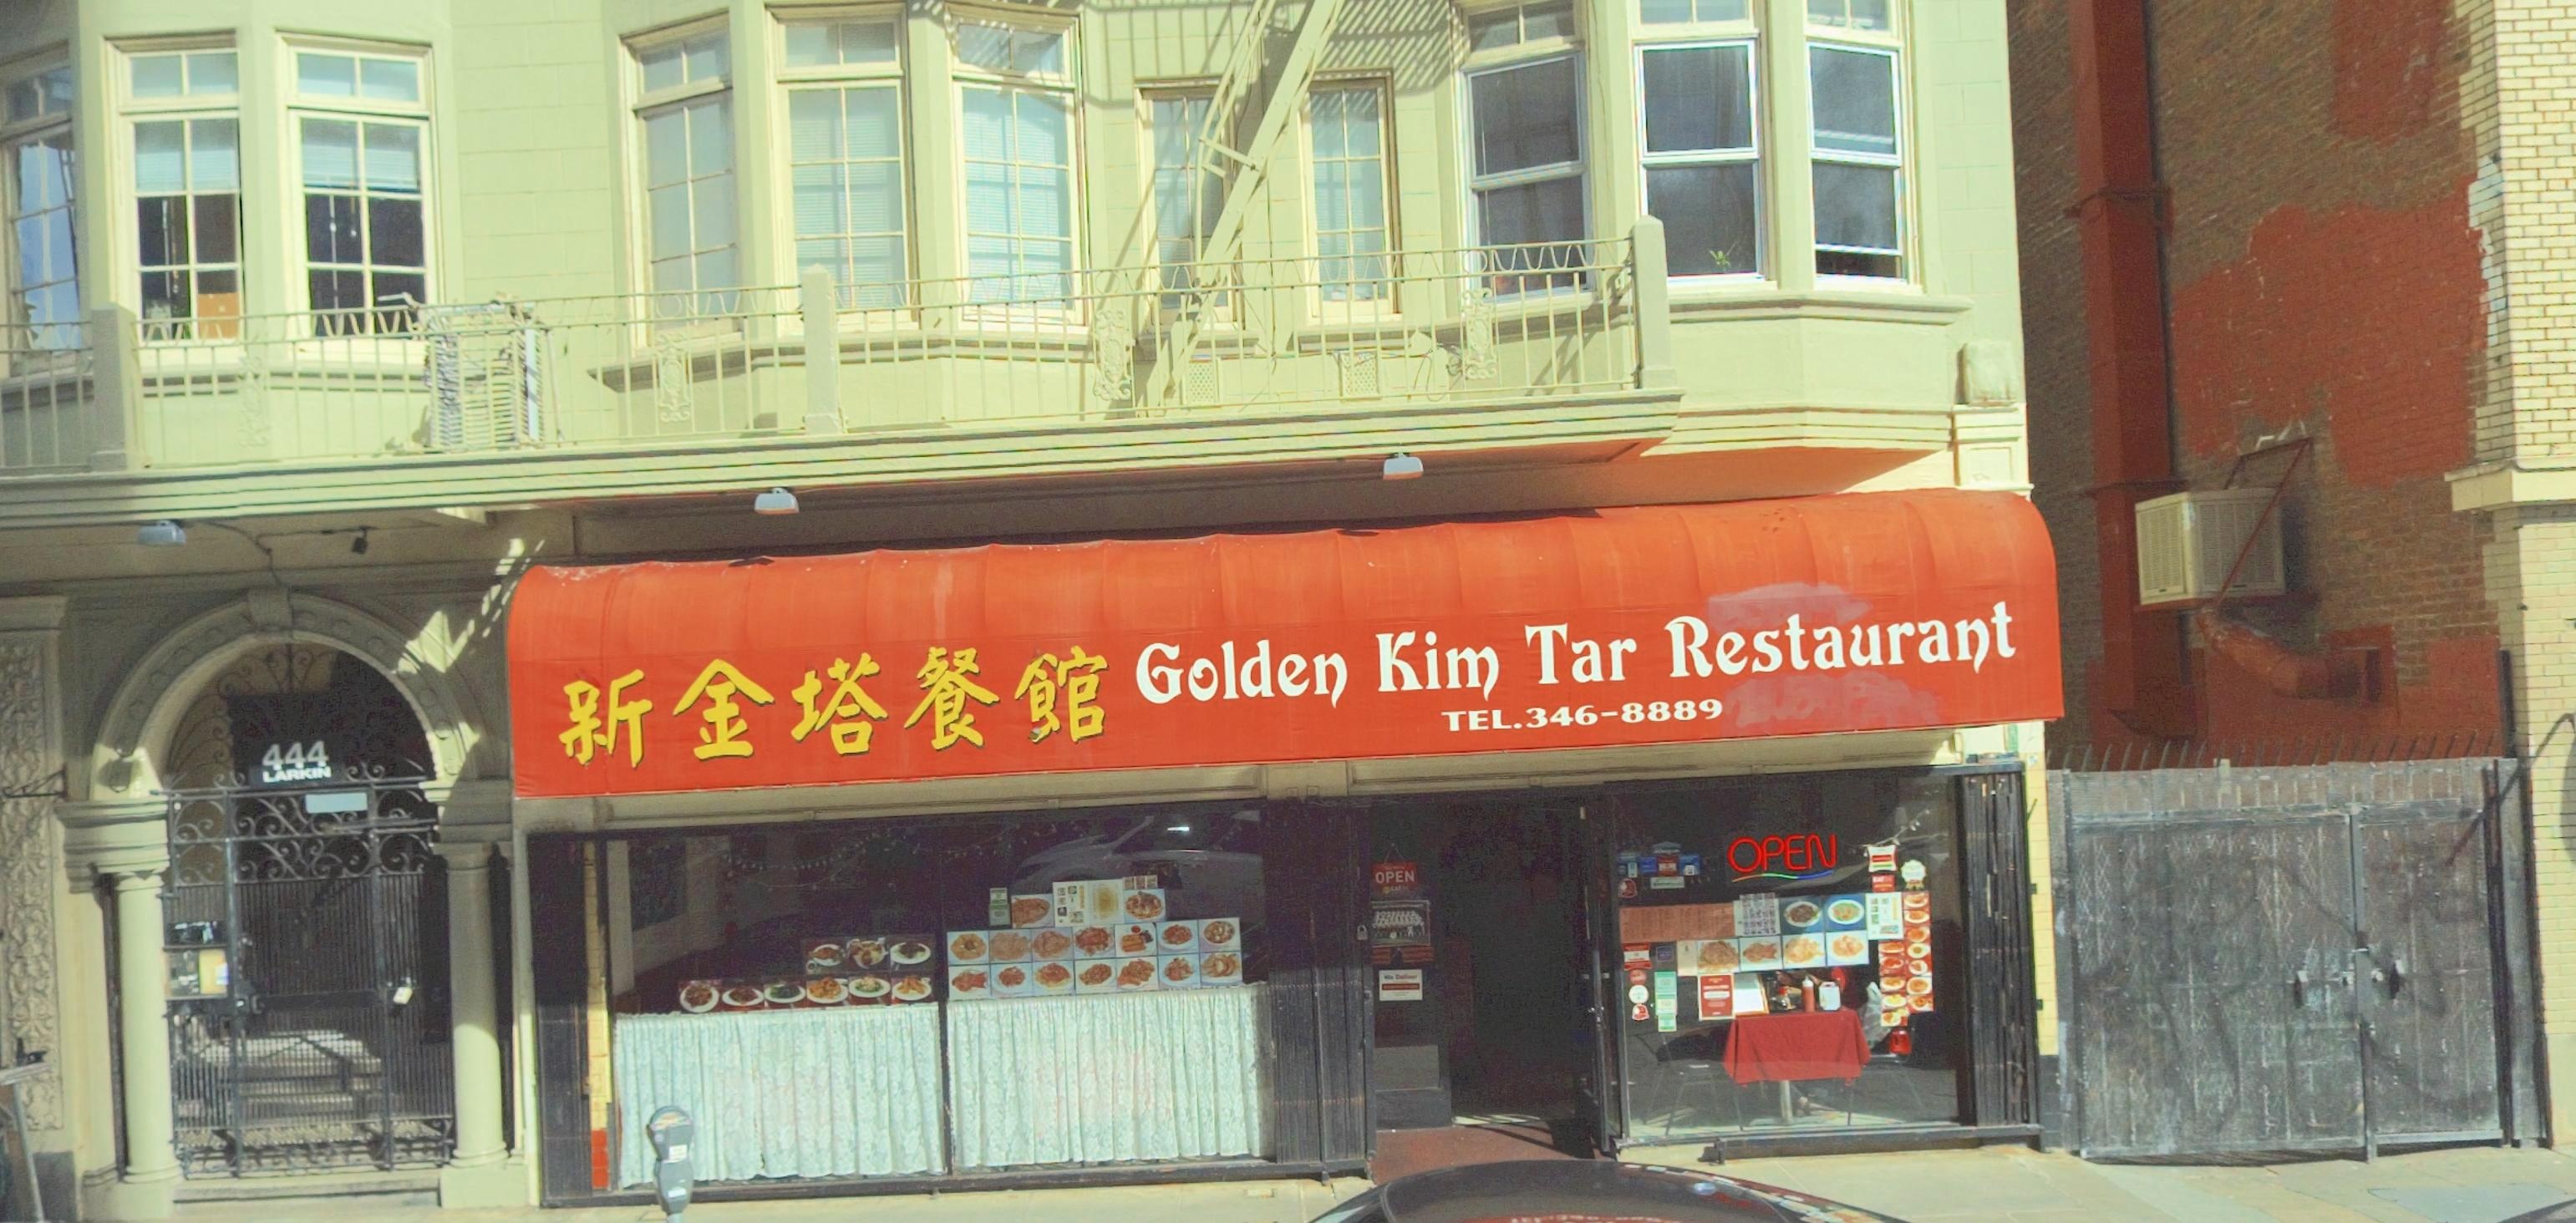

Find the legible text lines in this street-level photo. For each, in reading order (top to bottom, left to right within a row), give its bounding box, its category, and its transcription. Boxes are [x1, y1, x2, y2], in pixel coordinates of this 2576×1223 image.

[1130, 596, 2021, 713] BusinessName: Golden Kim Tar Restaurant
[1438, 696, 1726, 733] None: tel.346-8889
[260, 737, 330, 772] StreetNumber: 444
[260, 763, 334, 786] StreetName: LARKIN
[1726, 831, 1839, 875] None: OPEN
[1373, 867, 1416, 886] None: OPEN